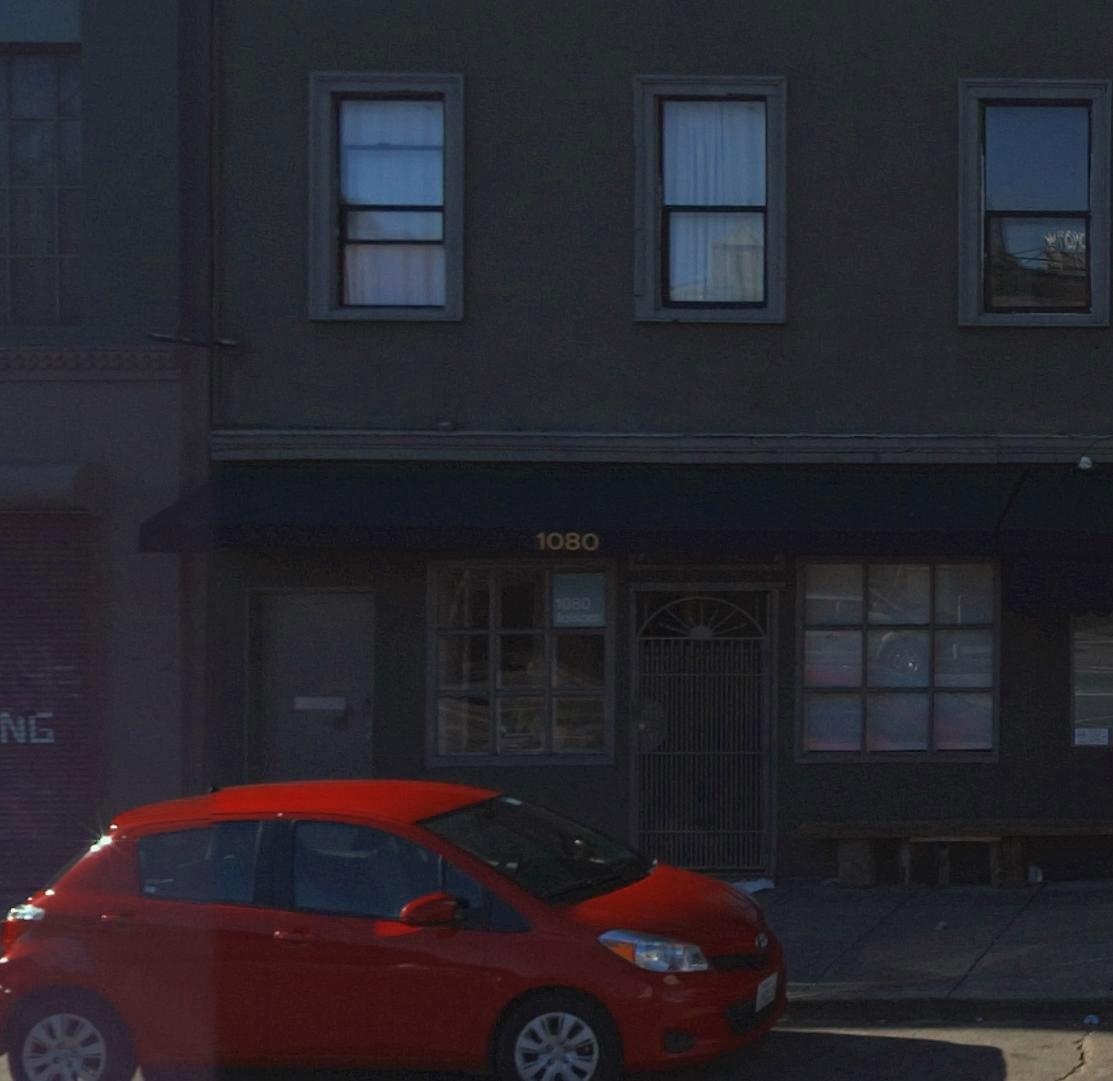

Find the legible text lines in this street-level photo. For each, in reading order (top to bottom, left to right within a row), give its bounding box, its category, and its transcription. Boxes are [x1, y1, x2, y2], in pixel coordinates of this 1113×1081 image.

[534, 529, 600, 552] StreetNumber: 1080
[554, 596, 592, 611] StreetNumber: 1080
[0, 710, 55, 745] None: NG